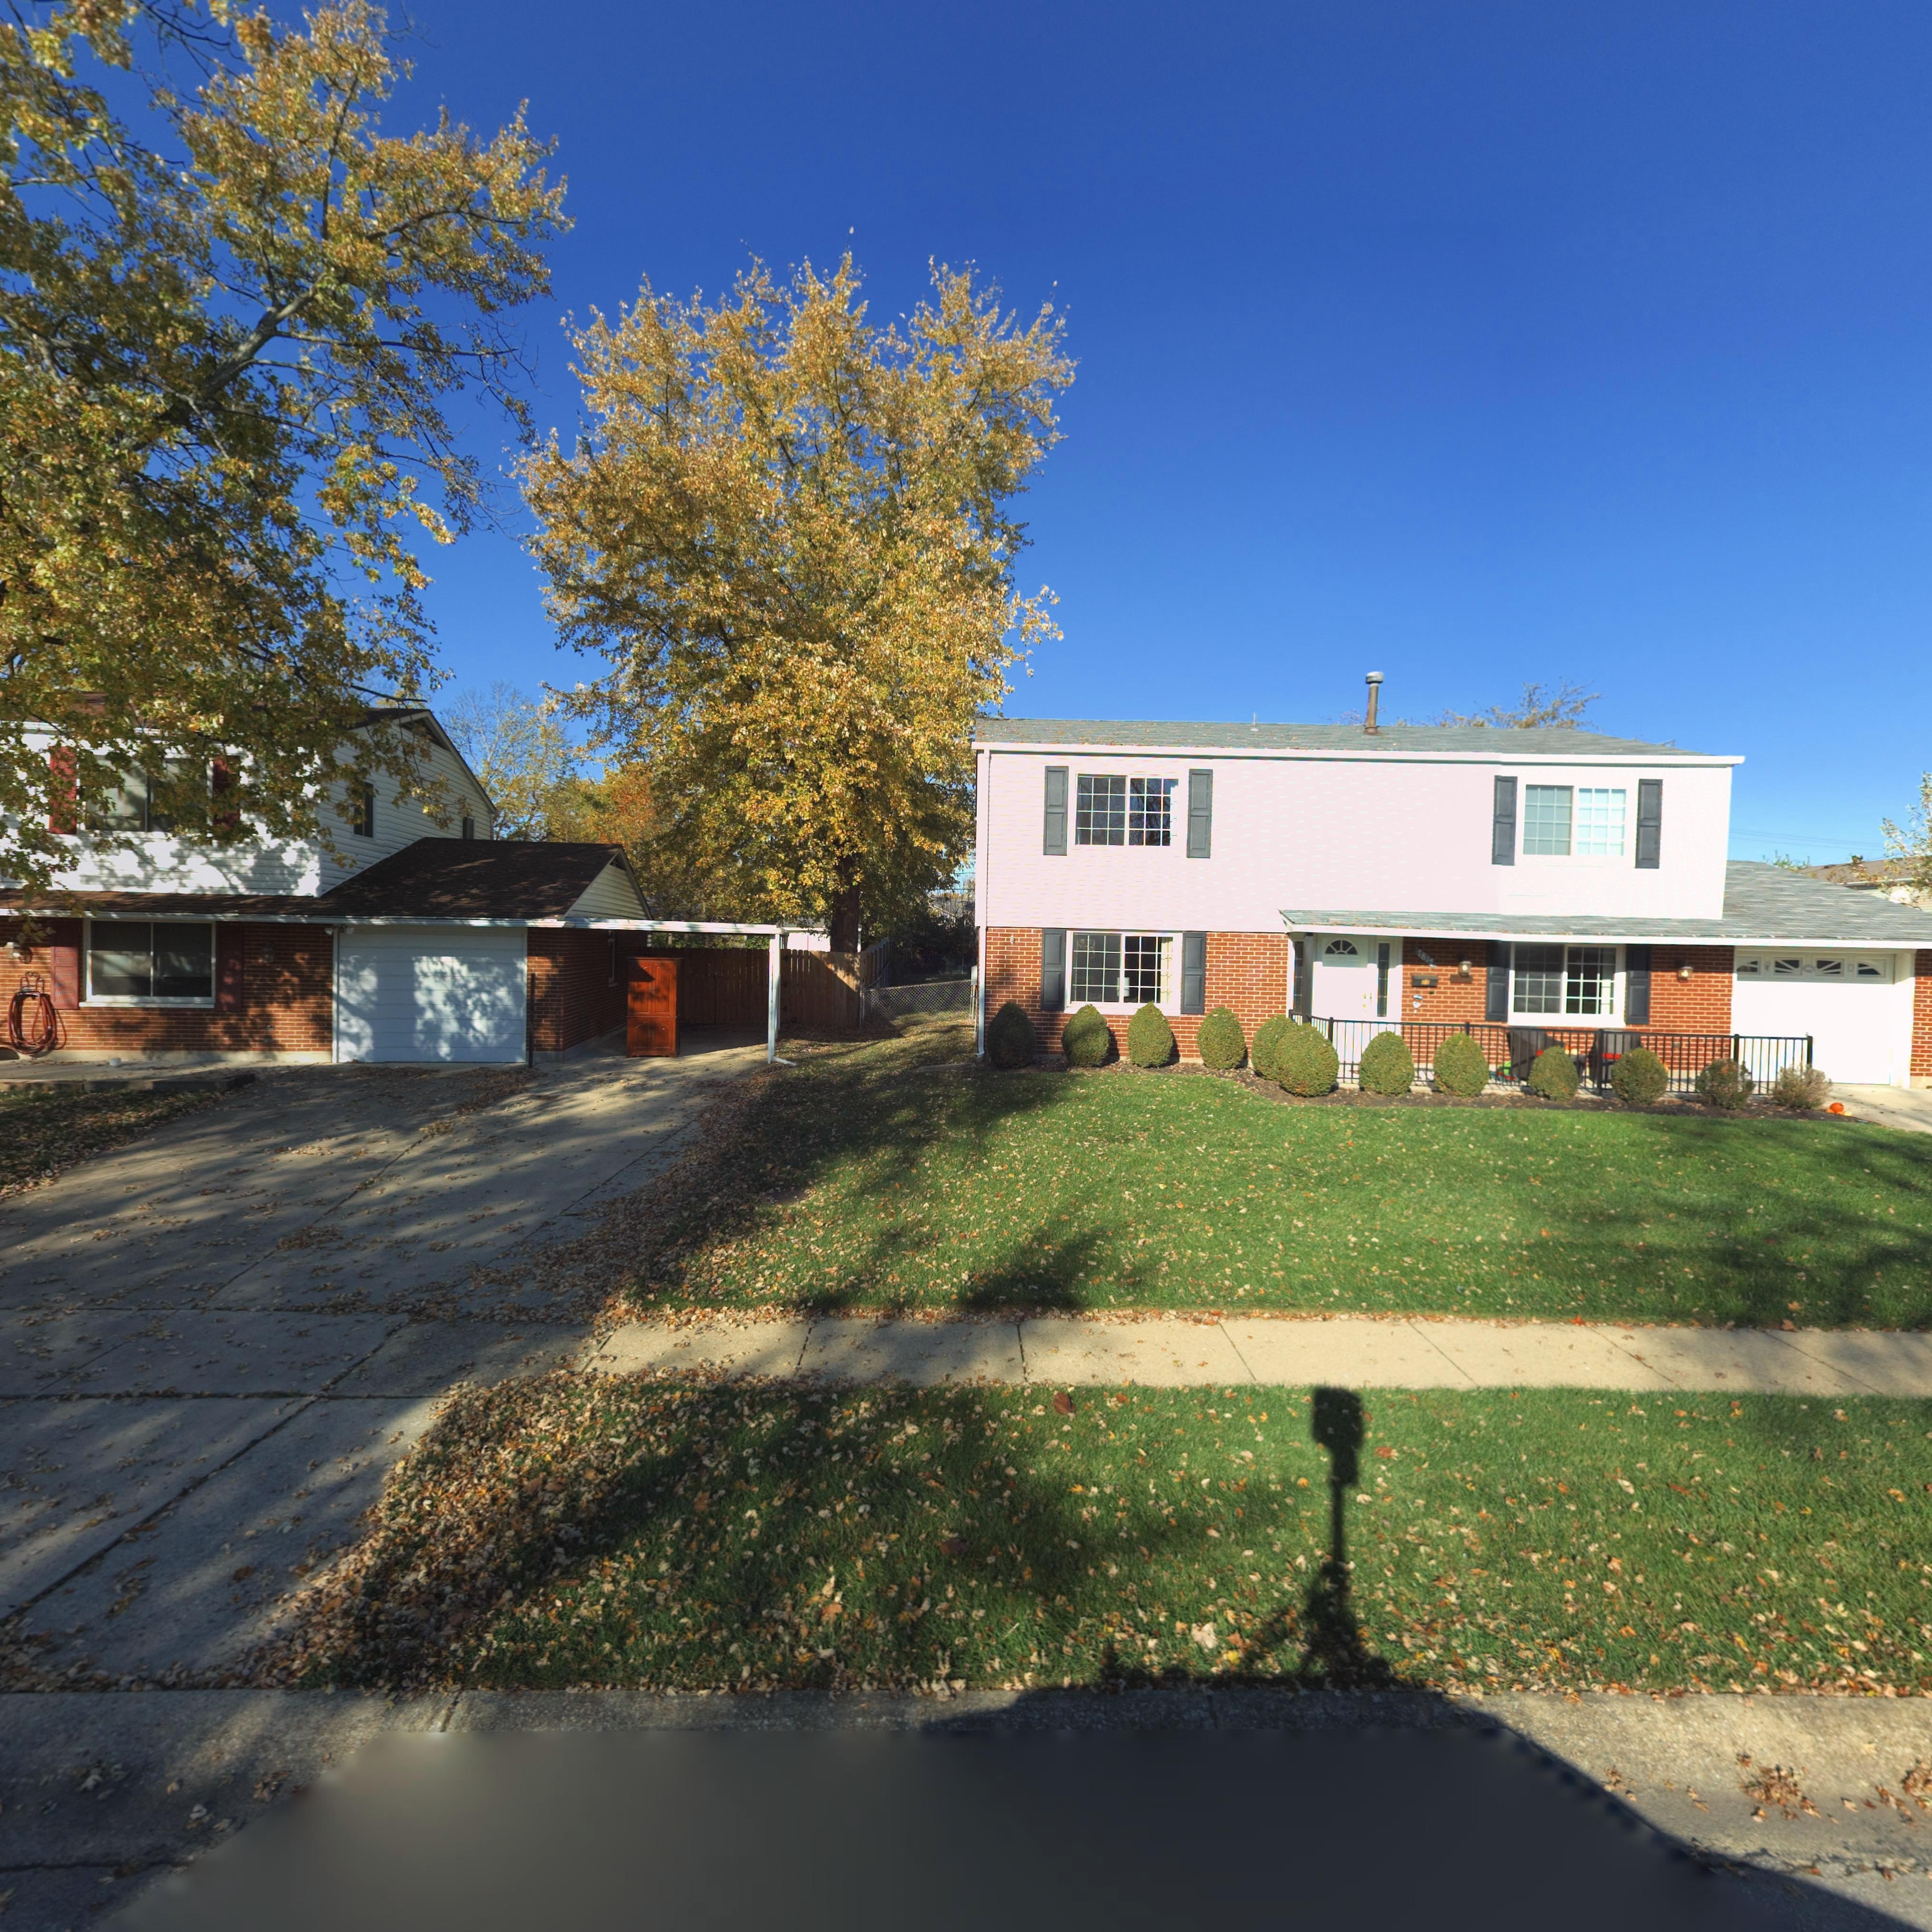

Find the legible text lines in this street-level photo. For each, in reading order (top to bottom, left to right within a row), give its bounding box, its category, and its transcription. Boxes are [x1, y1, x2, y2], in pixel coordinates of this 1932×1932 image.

[1416, 948, 1435, 968] StreetNumber: 781*